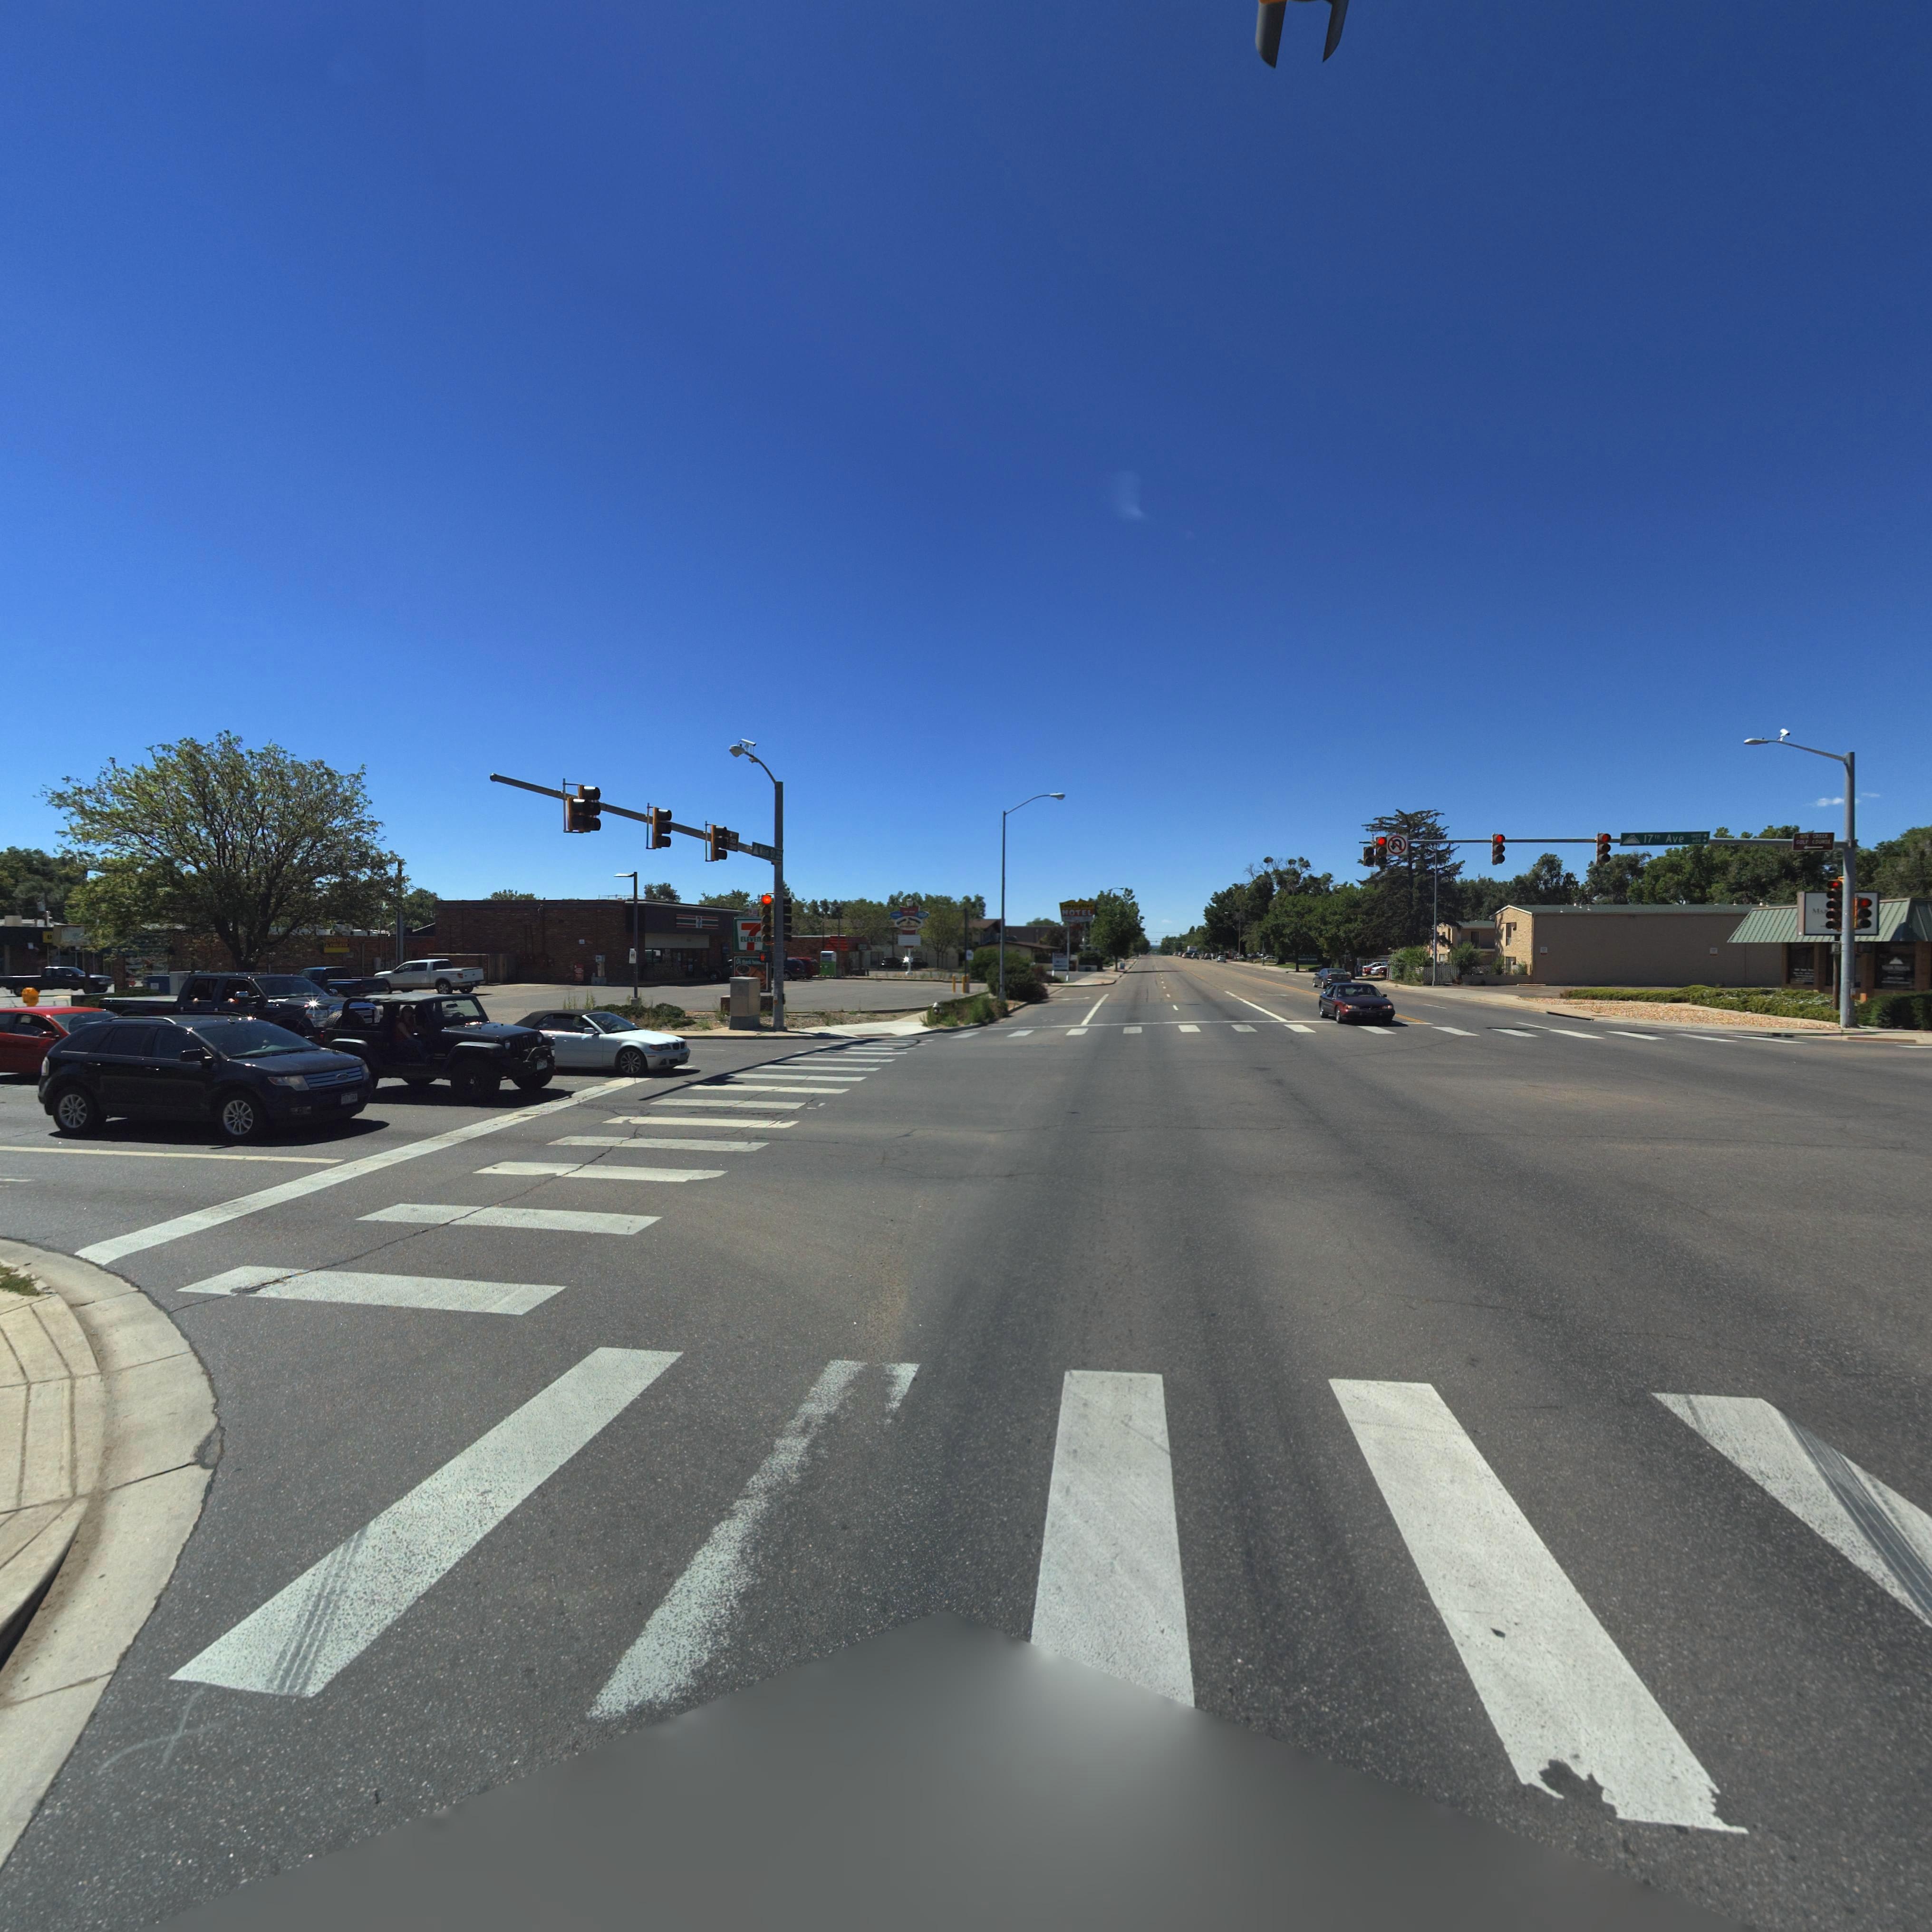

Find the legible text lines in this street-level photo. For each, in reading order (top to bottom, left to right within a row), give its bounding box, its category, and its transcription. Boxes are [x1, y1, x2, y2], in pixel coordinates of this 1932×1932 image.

[1643, 834, 1684, 844] StreetName: 17th Ave
[1690, 834, 1701, 838] StreetNumberRange: **00
[1691, 838, 1707, 843] StreetNumberRange: 600 ->
[759, 846, 775, 859] StreetName: Main St
[1060, 902, 1093, 909] BusinessName: Lamplighter
[1061, 909, 1092, 915] BusinessName: MOTEL
[1812, 908, 1827, 913] BusinessName: MA
[696, 916, 701, 927] BusinessName: 7
[740, 936, 761, 942] BusinessName: ELEVEN
[740, 922, 761, 951] BusinessName: 7